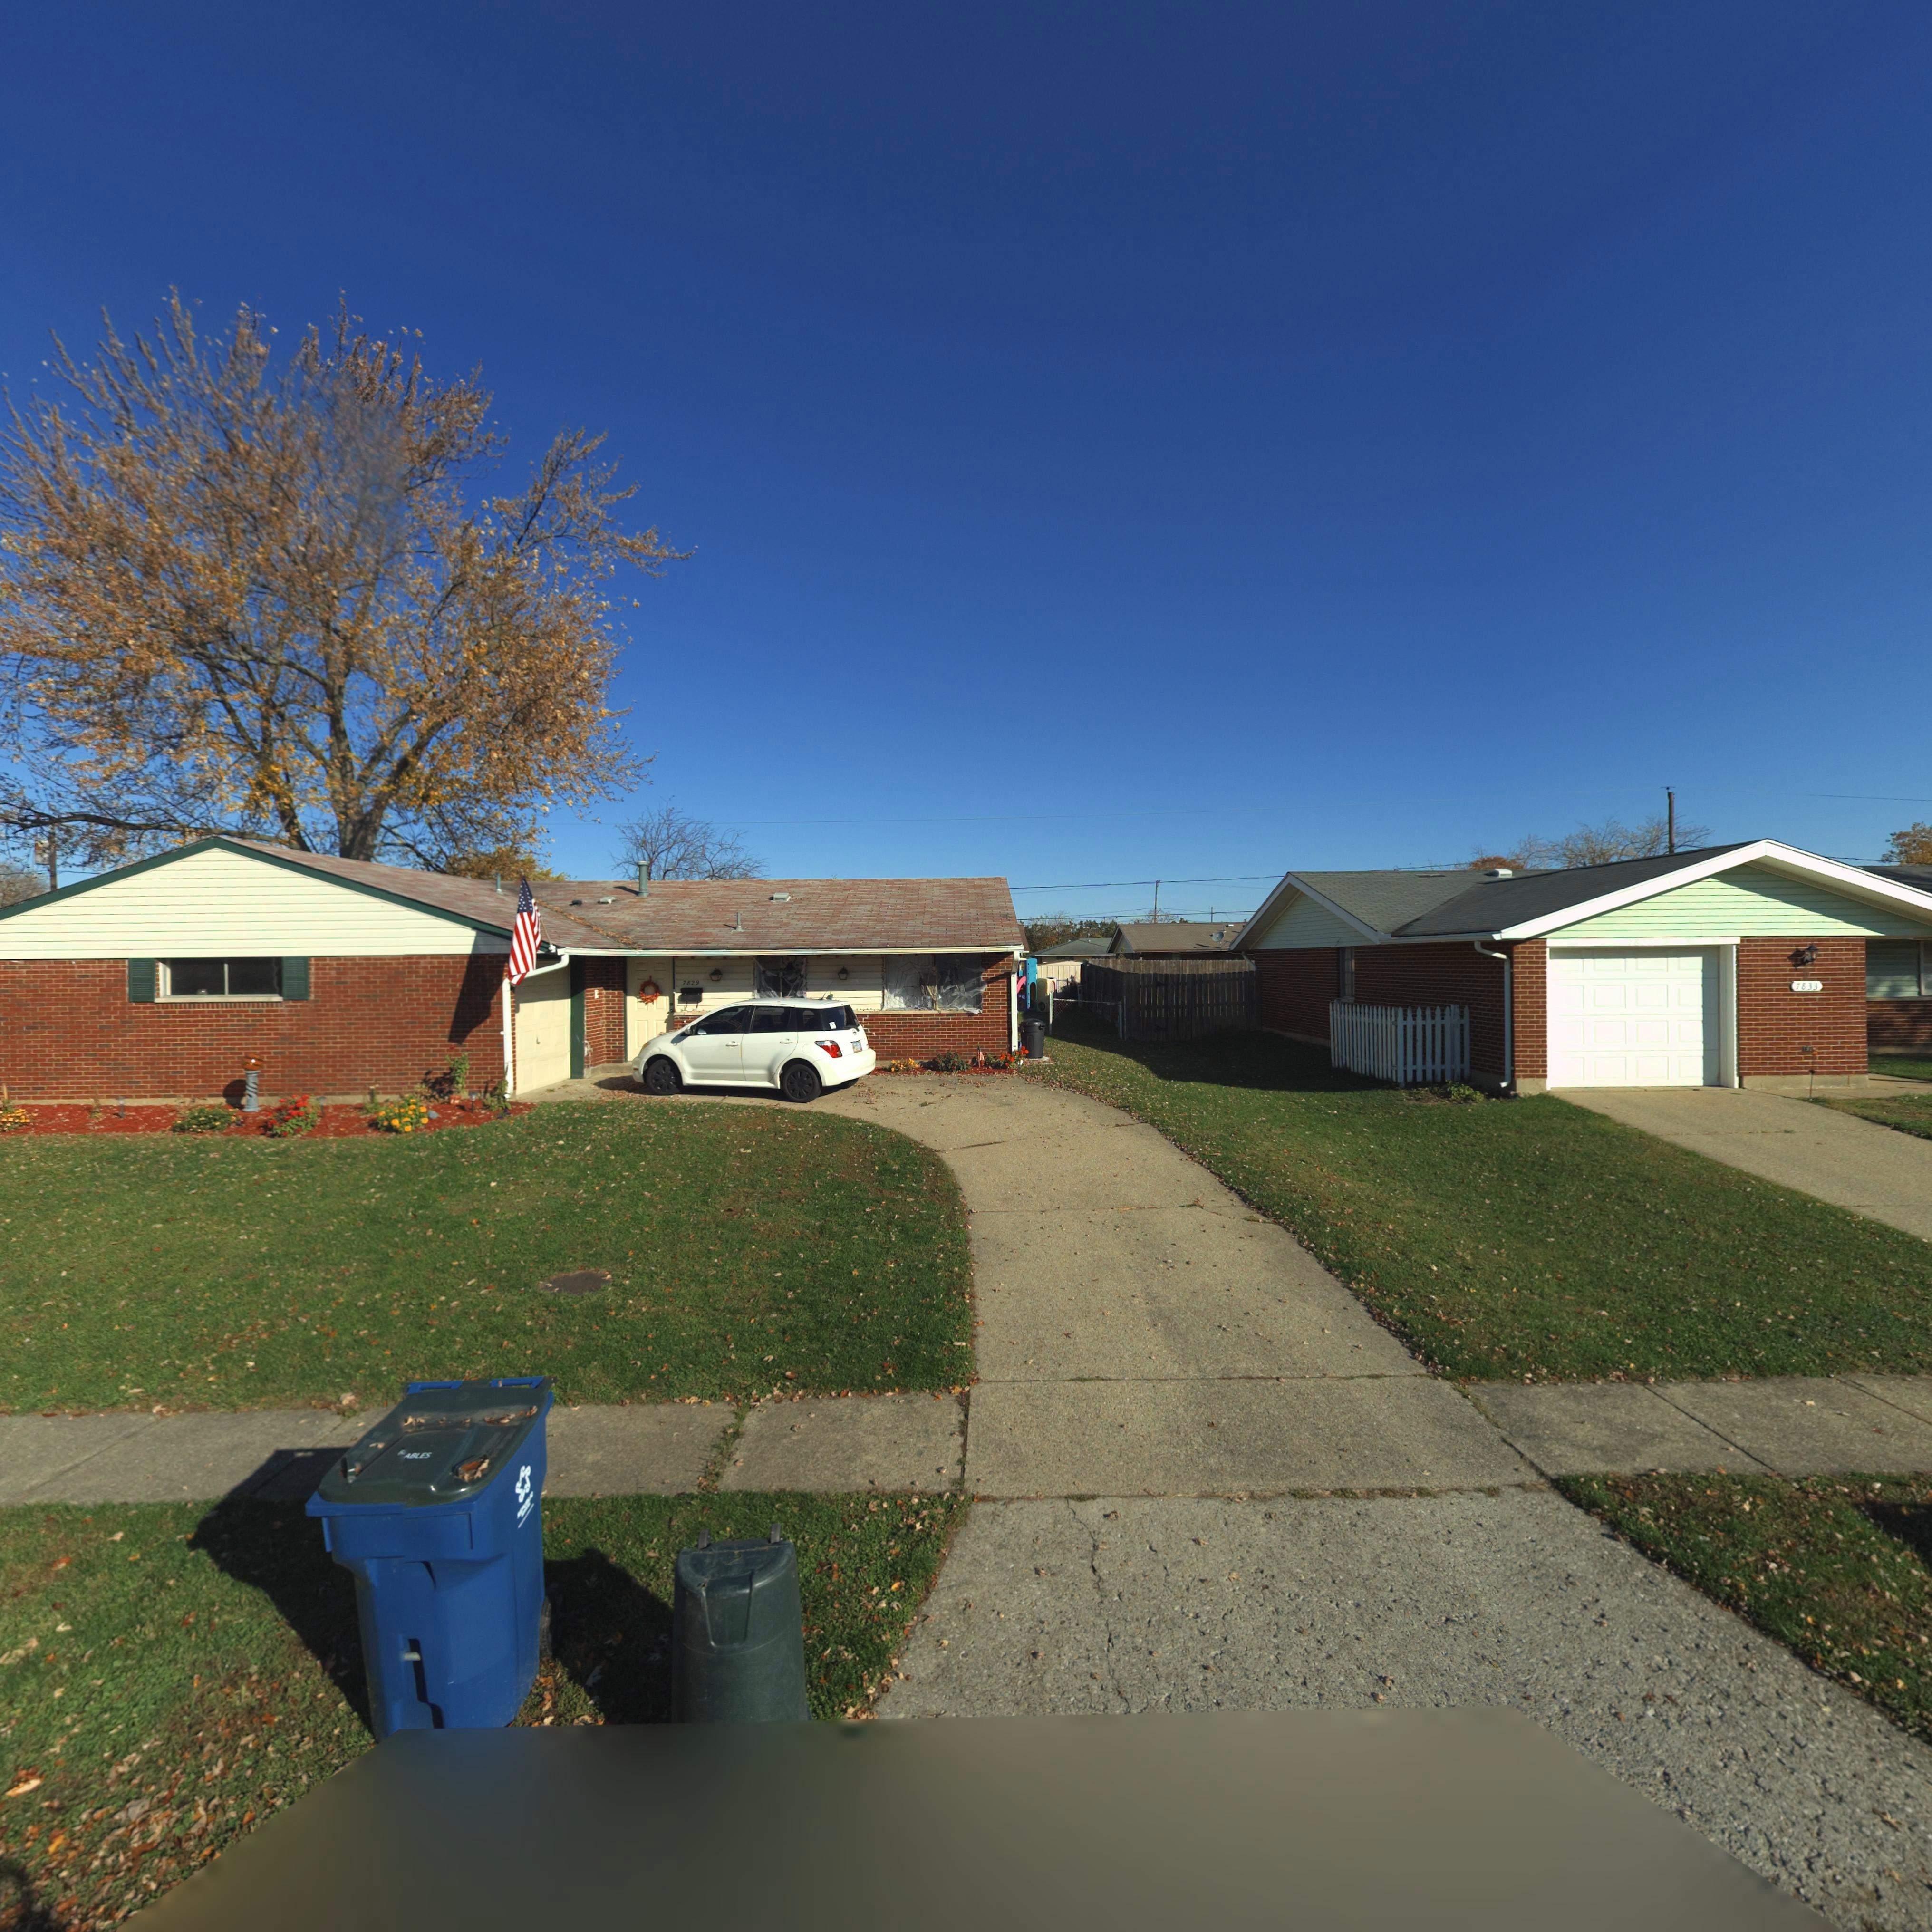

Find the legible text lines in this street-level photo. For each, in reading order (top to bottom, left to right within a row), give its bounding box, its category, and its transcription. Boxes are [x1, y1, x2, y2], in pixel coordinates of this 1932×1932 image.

[682, 980, 700, 986] StreetNumber: 7829
[1795, 982, 1819, 990] StreetNumber: 7833